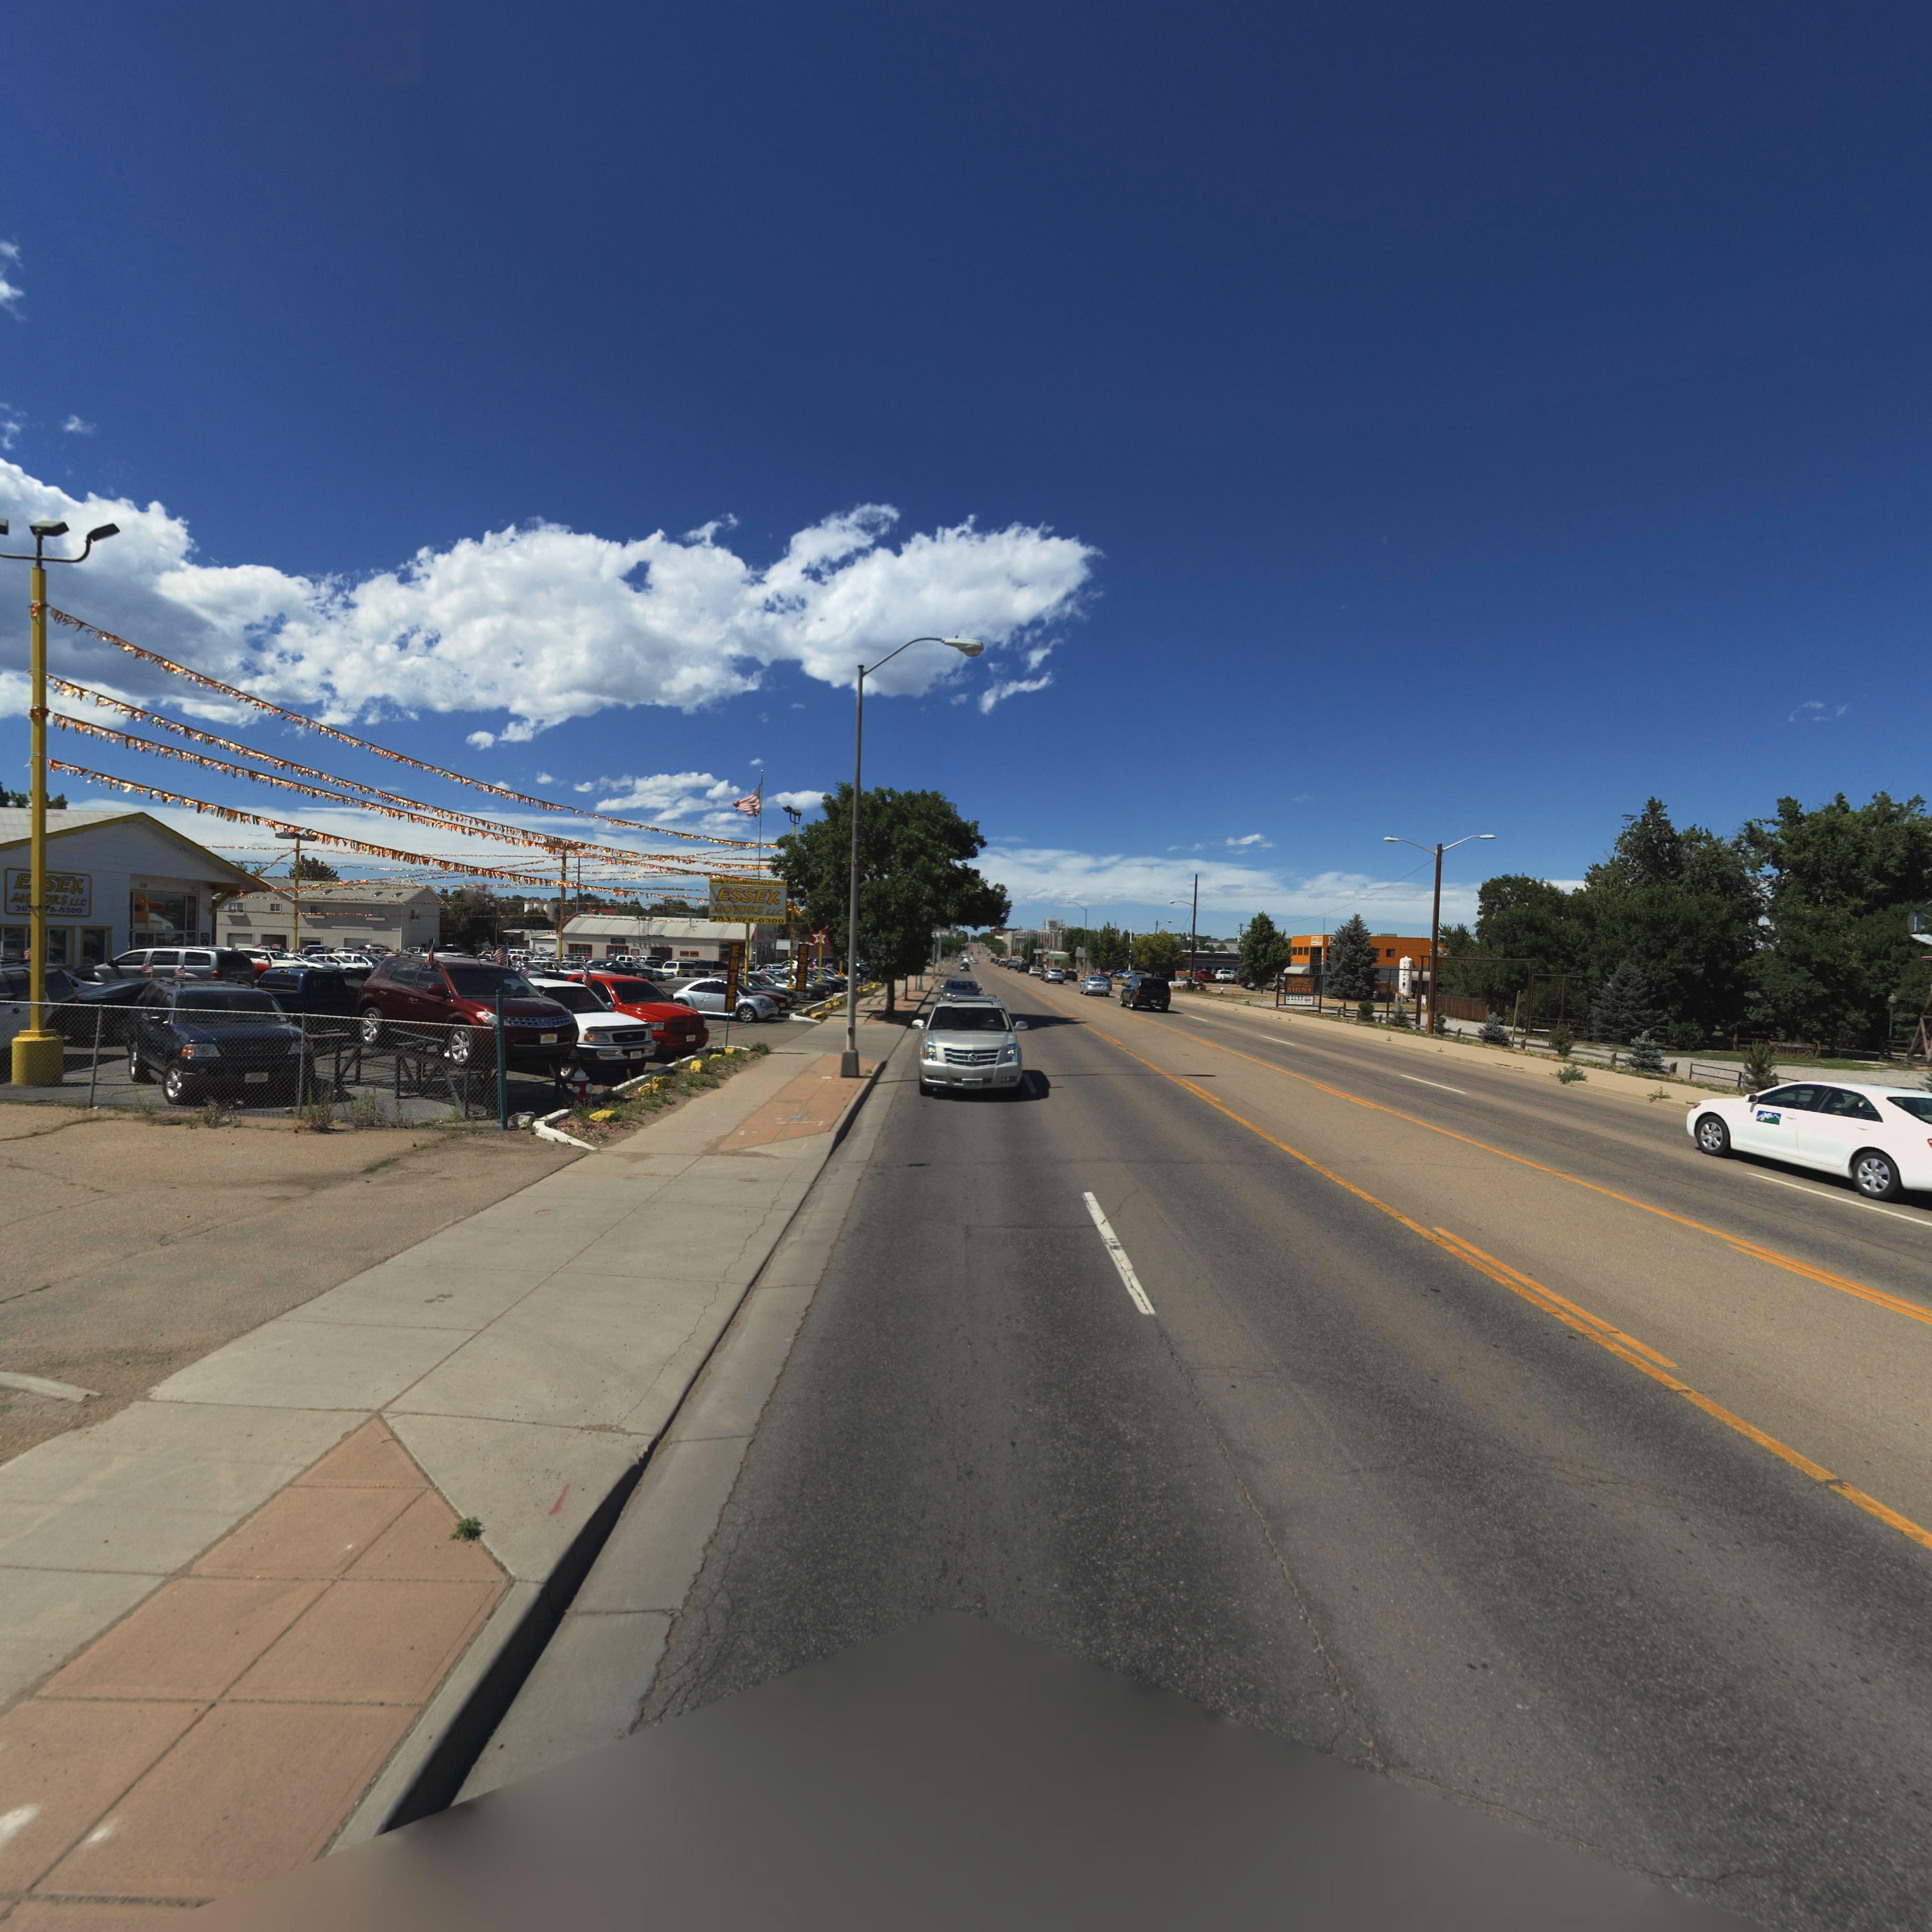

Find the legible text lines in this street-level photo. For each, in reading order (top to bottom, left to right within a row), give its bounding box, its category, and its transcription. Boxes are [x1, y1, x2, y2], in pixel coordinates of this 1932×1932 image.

[11, 872, 86, 894] BusinessName: E**EX
[139, 882, 147, 889] StreetNumber: 1**
[9, 891, 88, 907] BusinessName: M***RS LLC
[714, 887, 781, 905] BusinessName: ESSEX
[711, 903, 783, 916] BusinessName: MOTORS LLC
[1287, 995, 1304, 1001] BusinessName: B*BARN